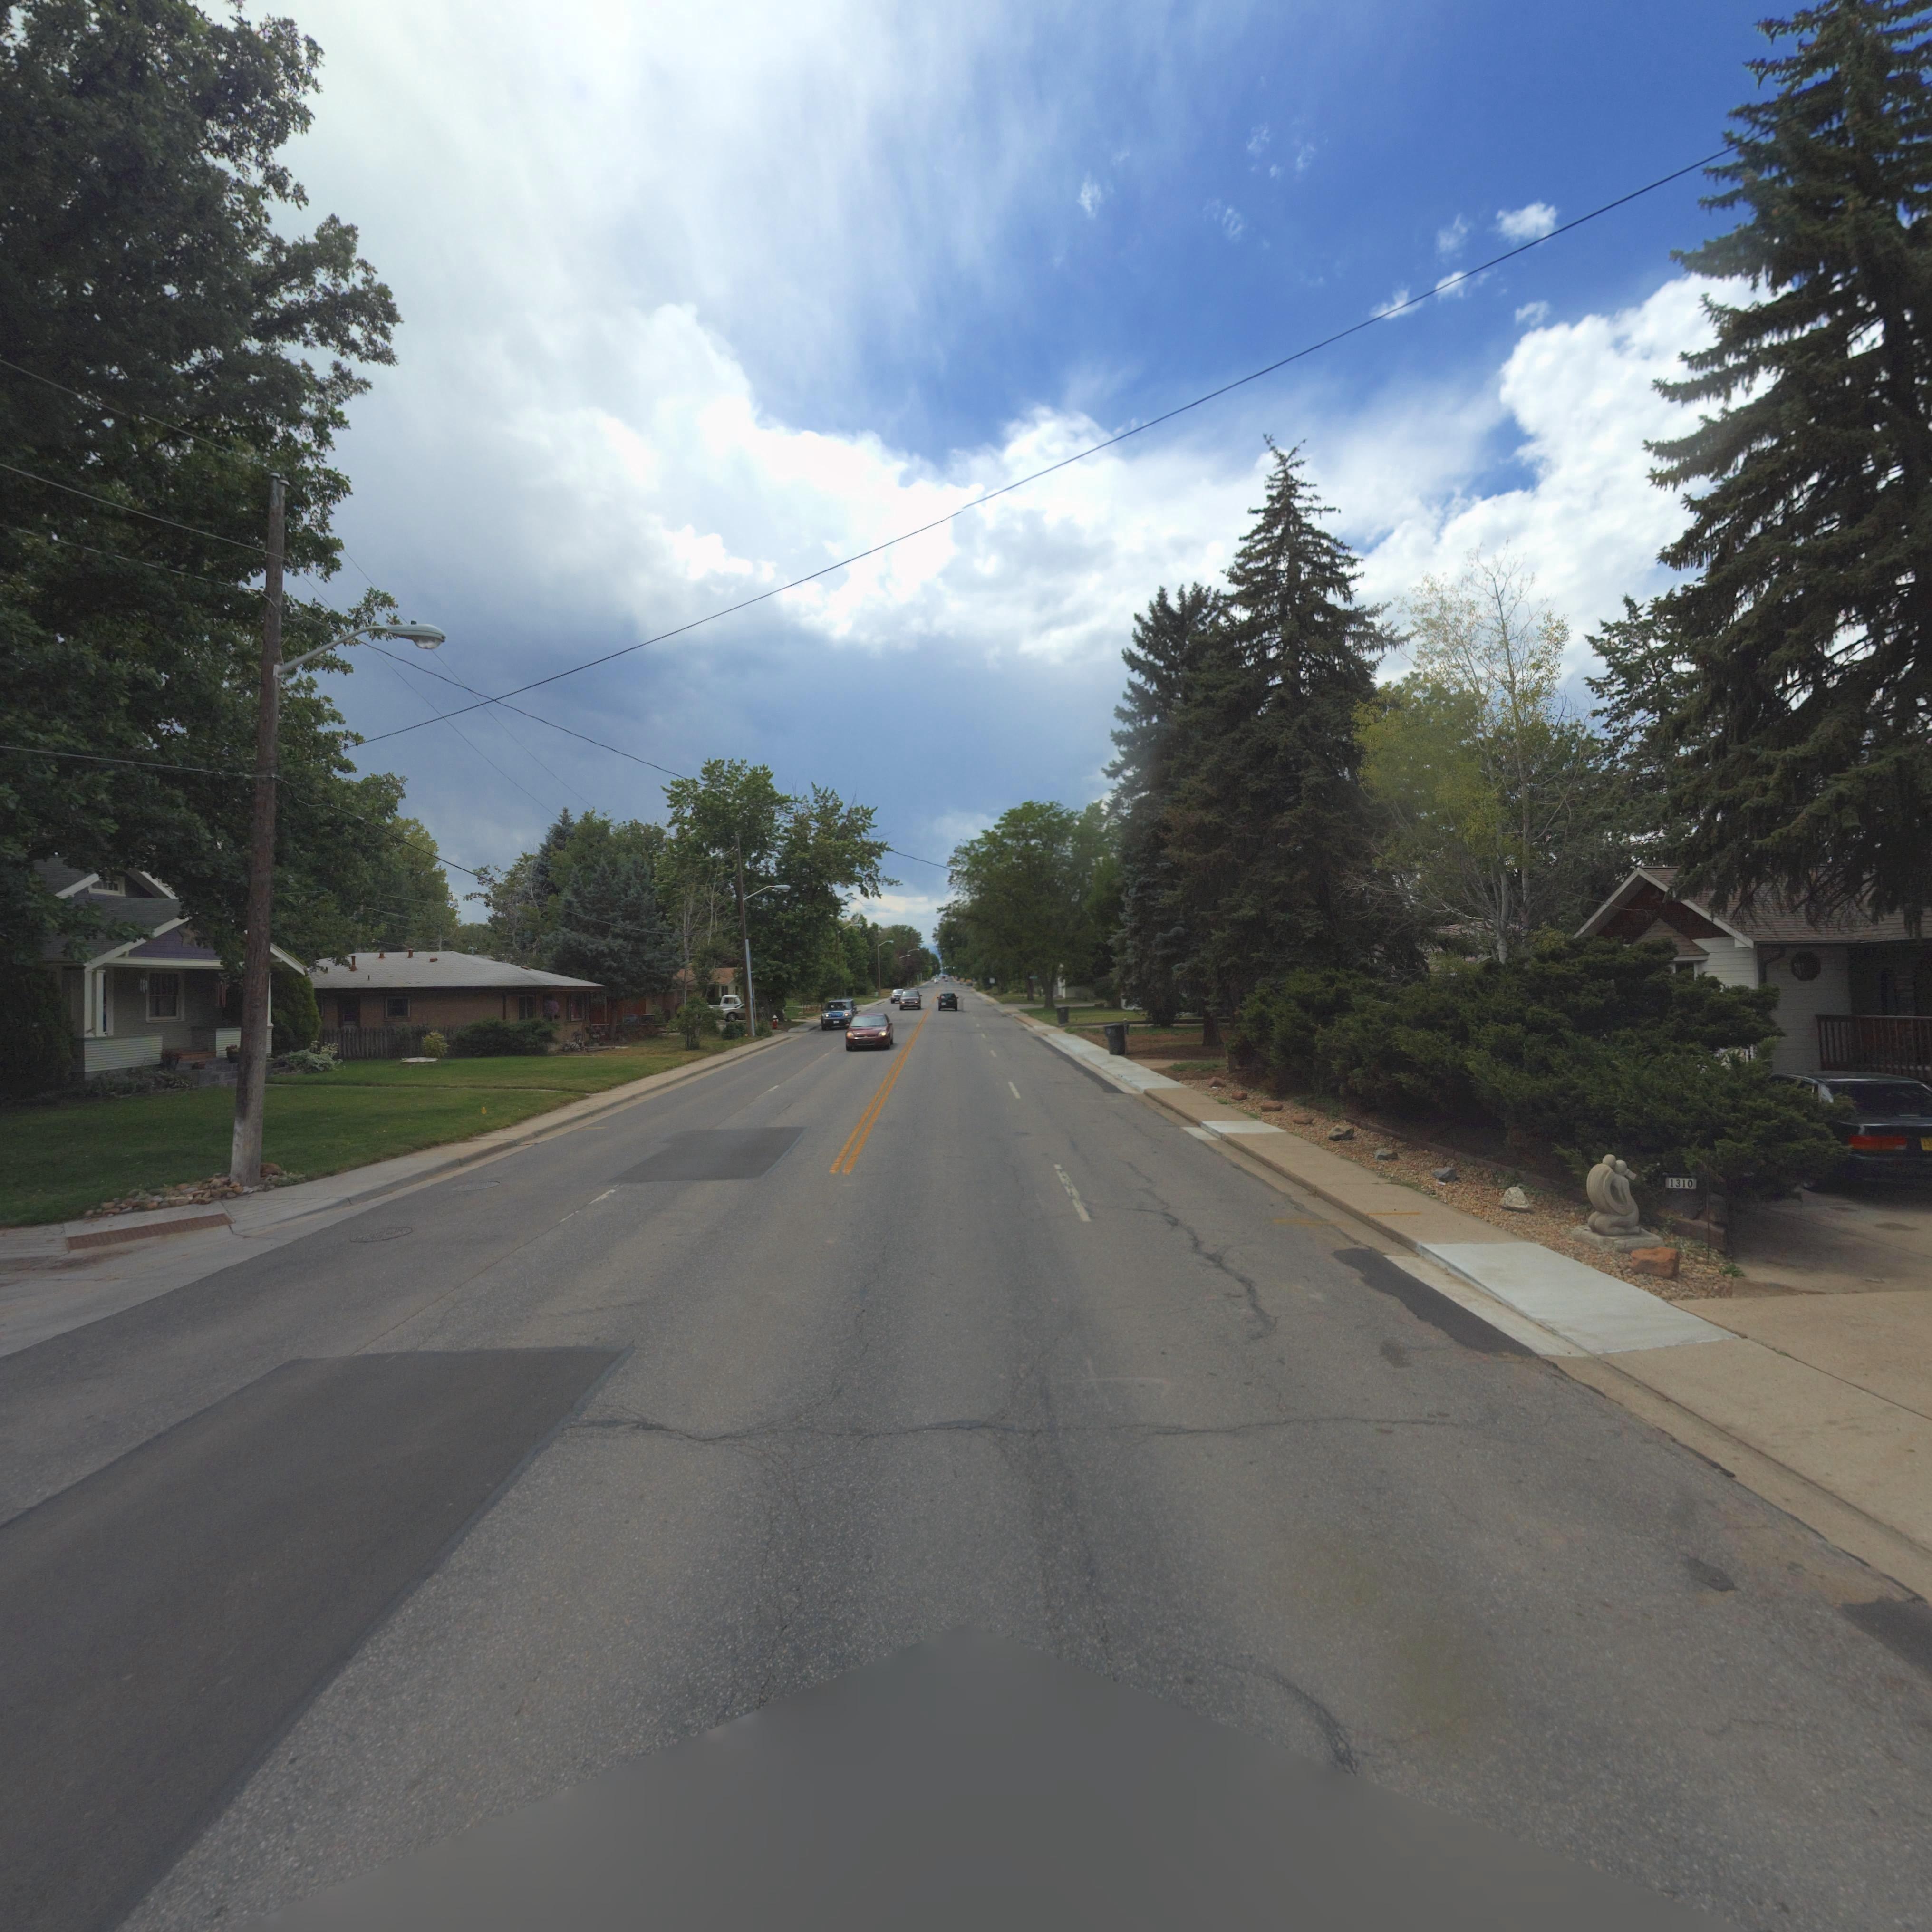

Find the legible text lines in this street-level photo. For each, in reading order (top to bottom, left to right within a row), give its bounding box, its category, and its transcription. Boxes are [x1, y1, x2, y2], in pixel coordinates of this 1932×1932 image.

[1670, 1179, 1693, 1188] StreetNumber: 1310